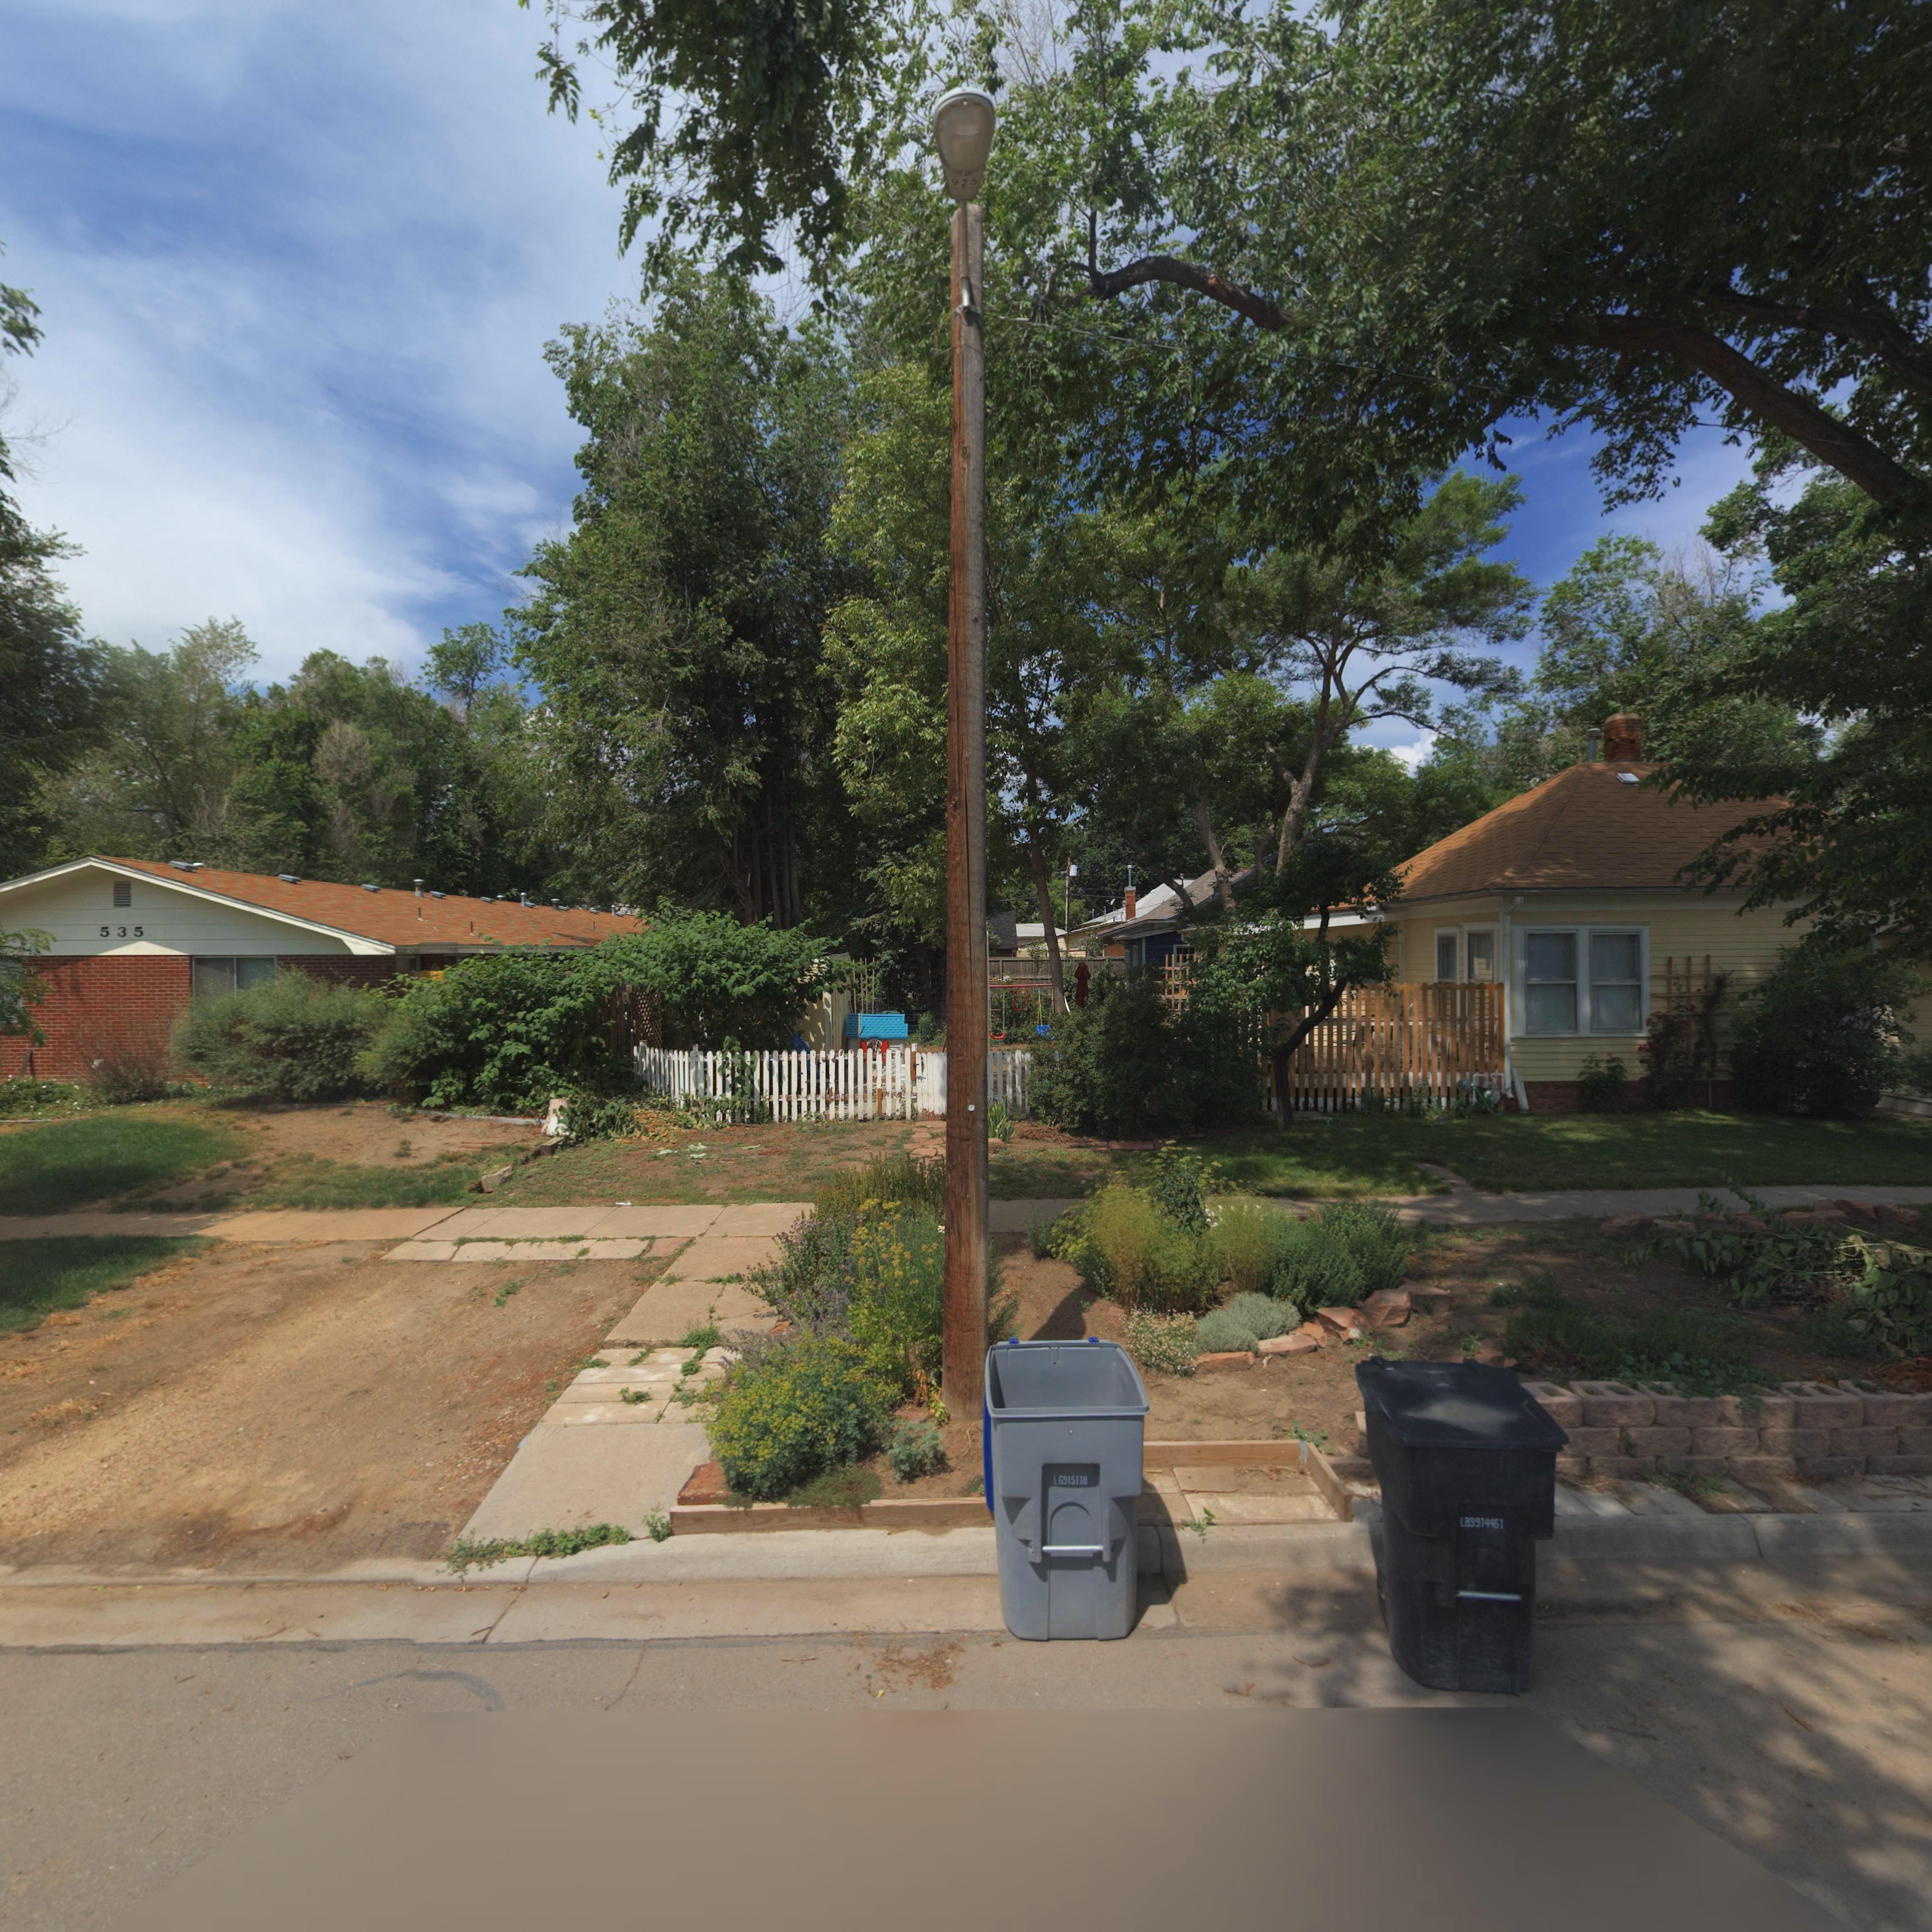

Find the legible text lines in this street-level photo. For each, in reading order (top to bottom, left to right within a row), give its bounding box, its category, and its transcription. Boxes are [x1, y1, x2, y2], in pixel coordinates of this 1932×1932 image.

[100, 926, 143, 937] StreetNumber: 535